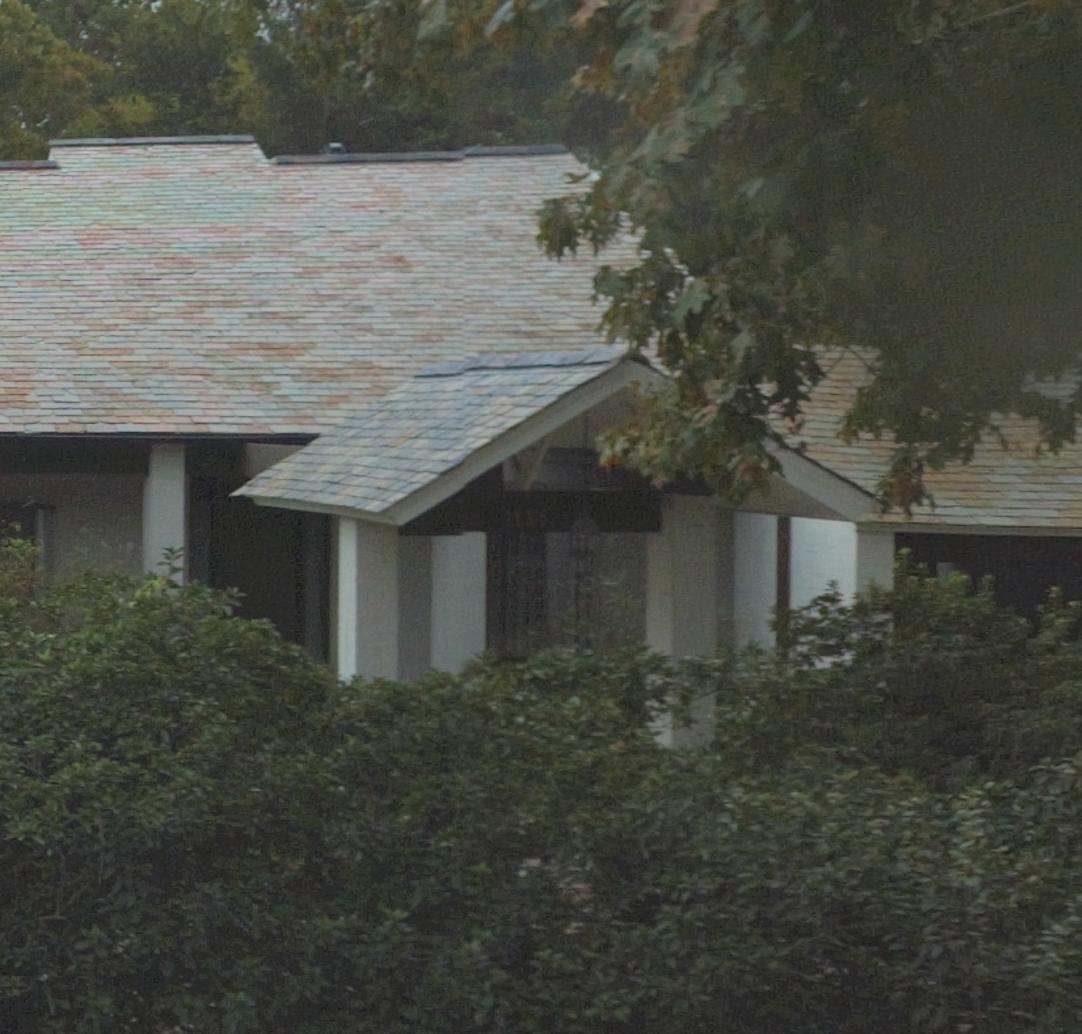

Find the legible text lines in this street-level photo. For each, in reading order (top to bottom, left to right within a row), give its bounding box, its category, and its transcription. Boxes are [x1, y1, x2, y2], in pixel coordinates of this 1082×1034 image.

[503, 509, 549, 527] StreetNumber: 1135